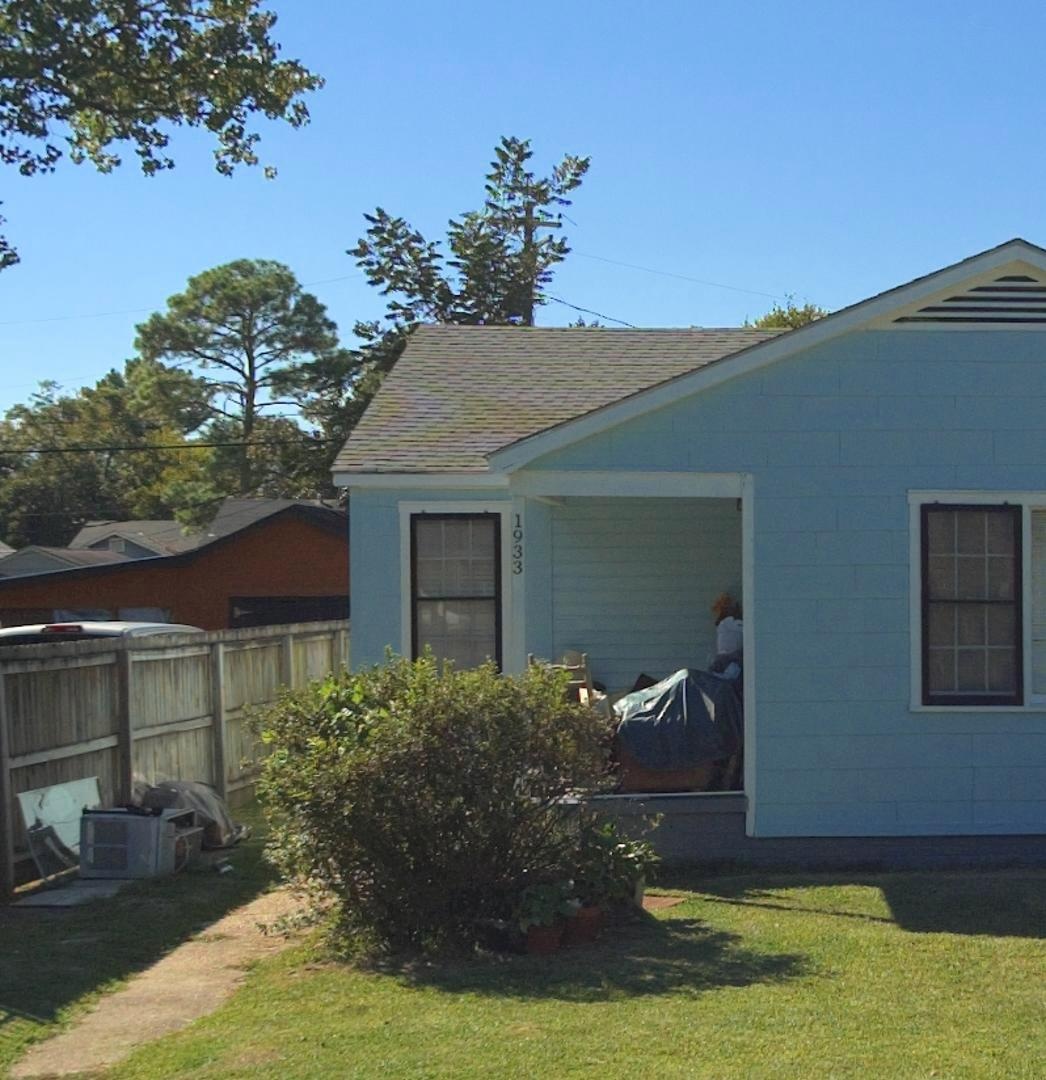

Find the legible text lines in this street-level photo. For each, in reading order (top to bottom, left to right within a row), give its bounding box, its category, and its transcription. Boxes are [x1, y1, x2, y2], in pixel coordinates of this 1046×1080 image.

[511, 512, 524, 576] StreetNumber: 1933